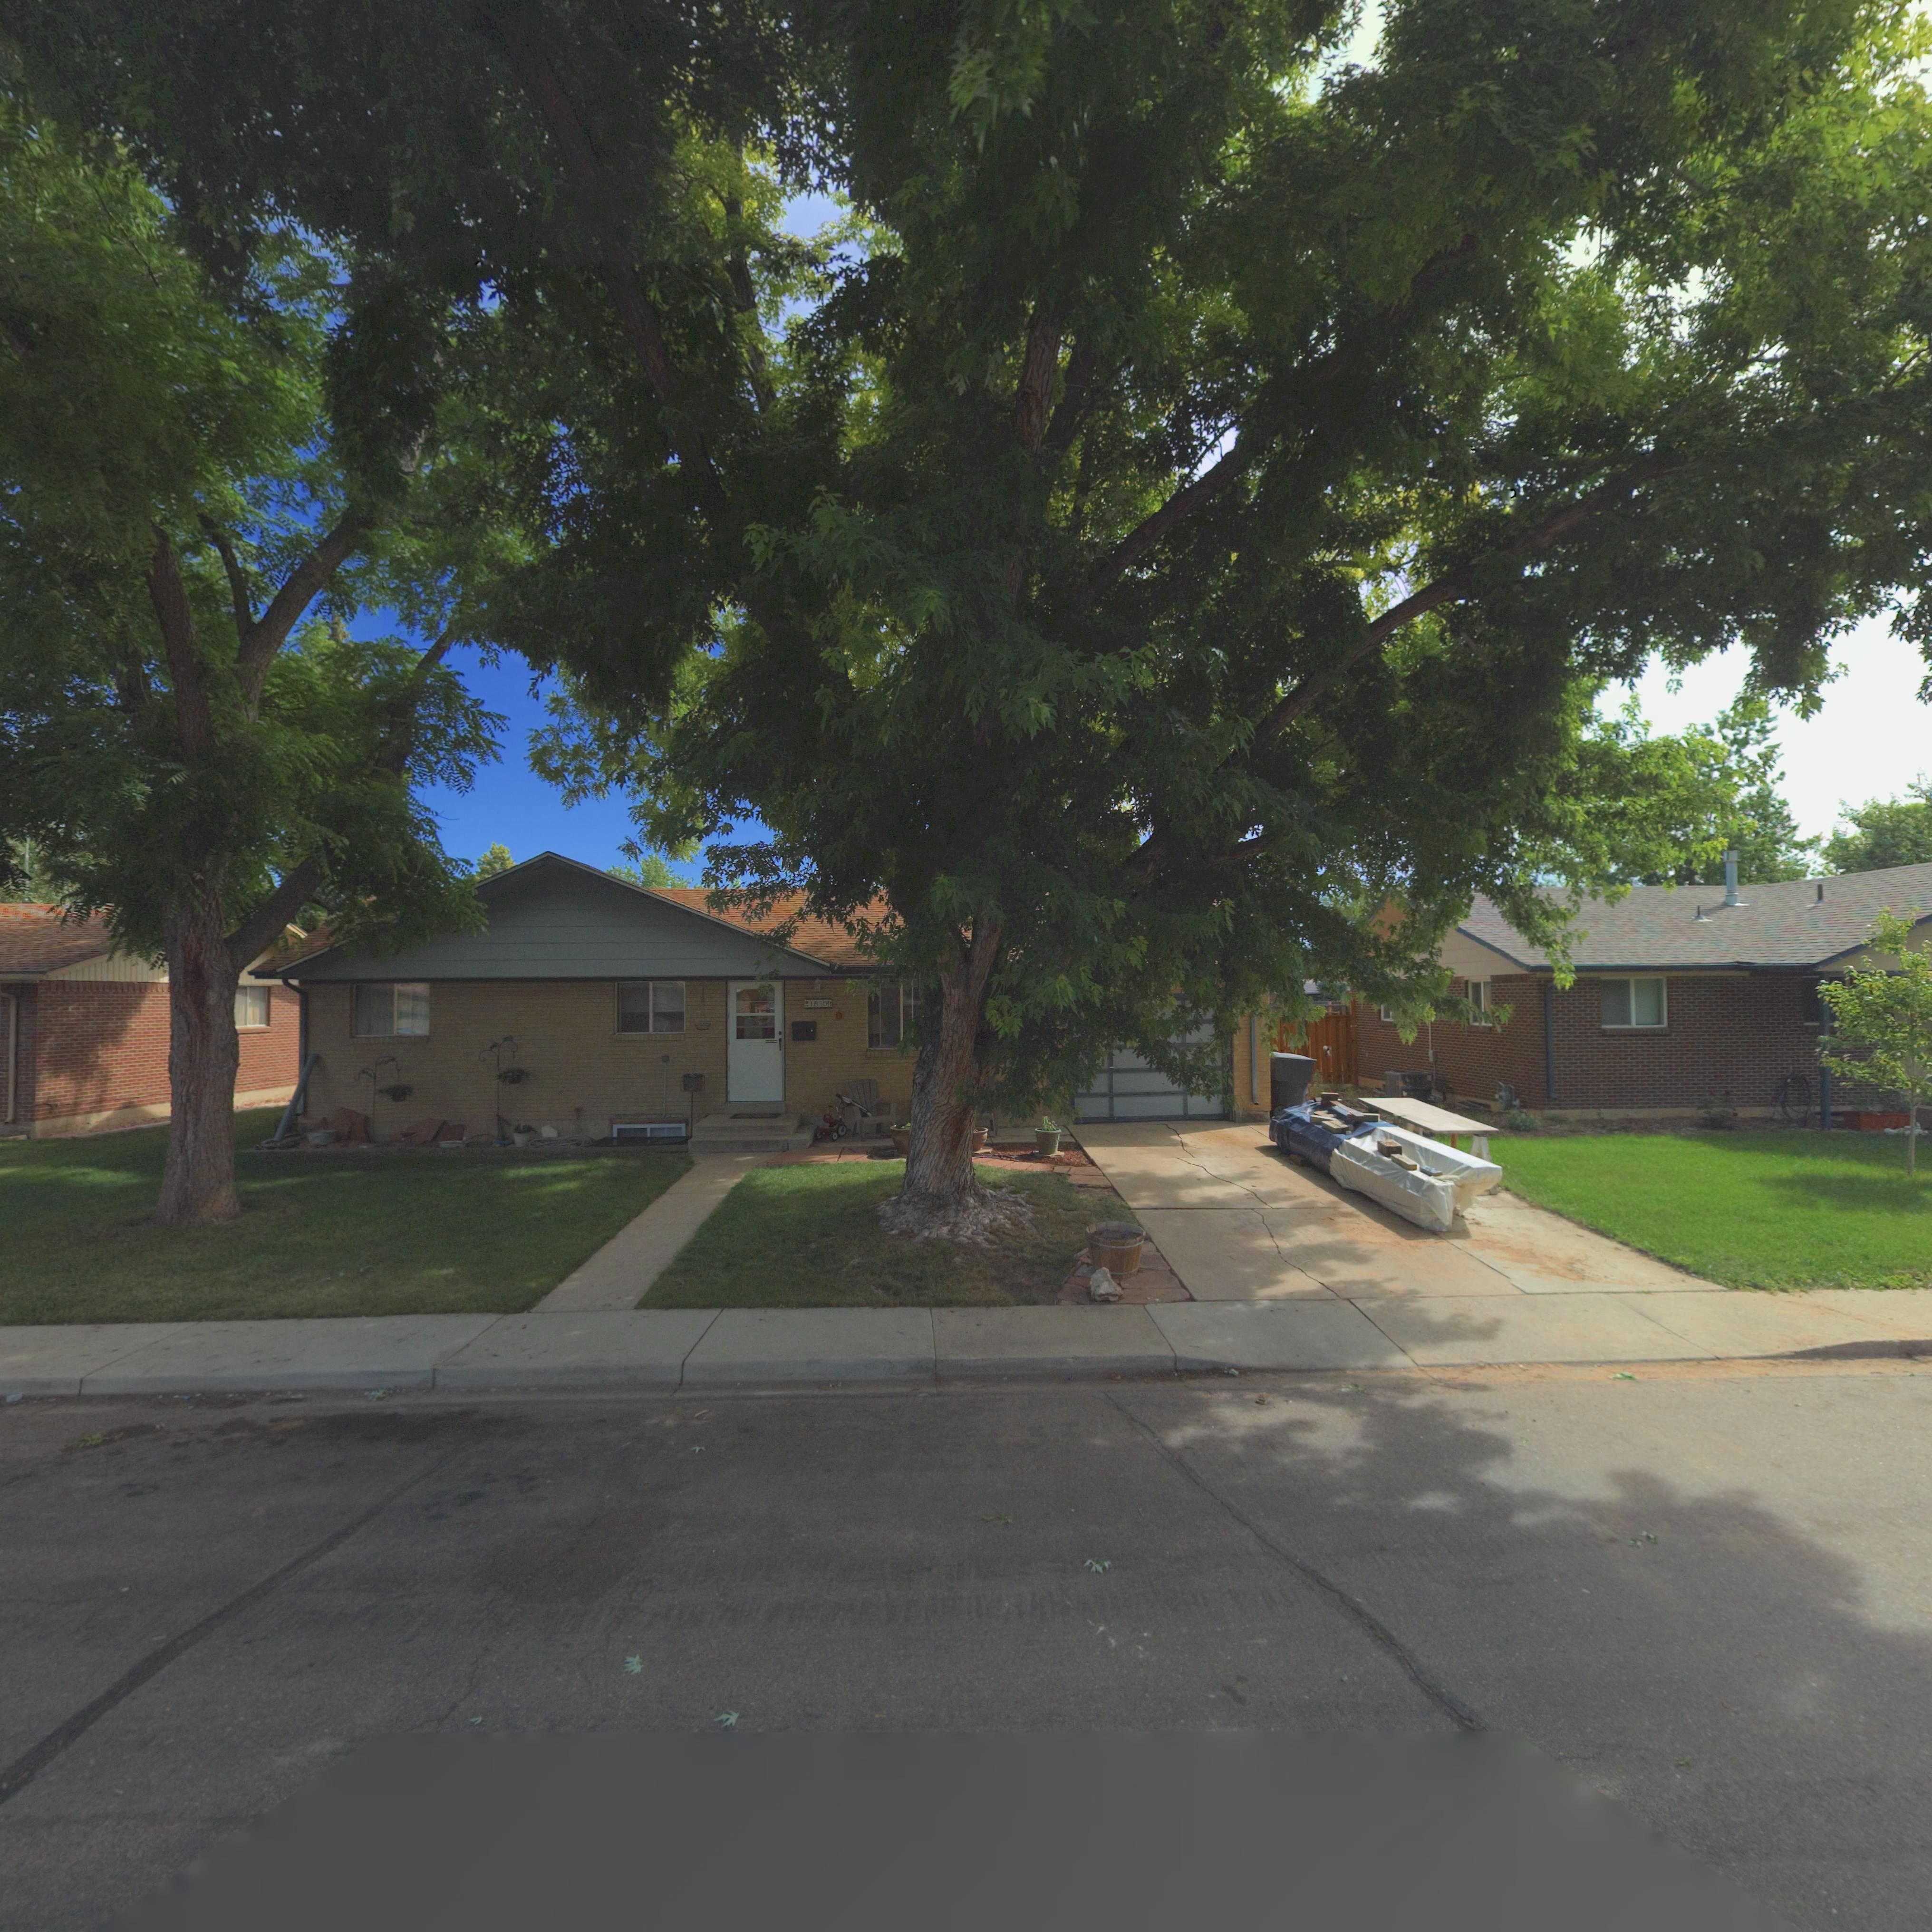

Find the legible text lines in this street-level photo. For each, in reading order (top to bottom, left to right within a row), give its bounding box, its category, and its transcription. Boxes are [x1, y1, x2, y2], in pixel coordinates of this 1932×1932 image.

[810, 1000, 828, 1007] StreetNumber: 1850